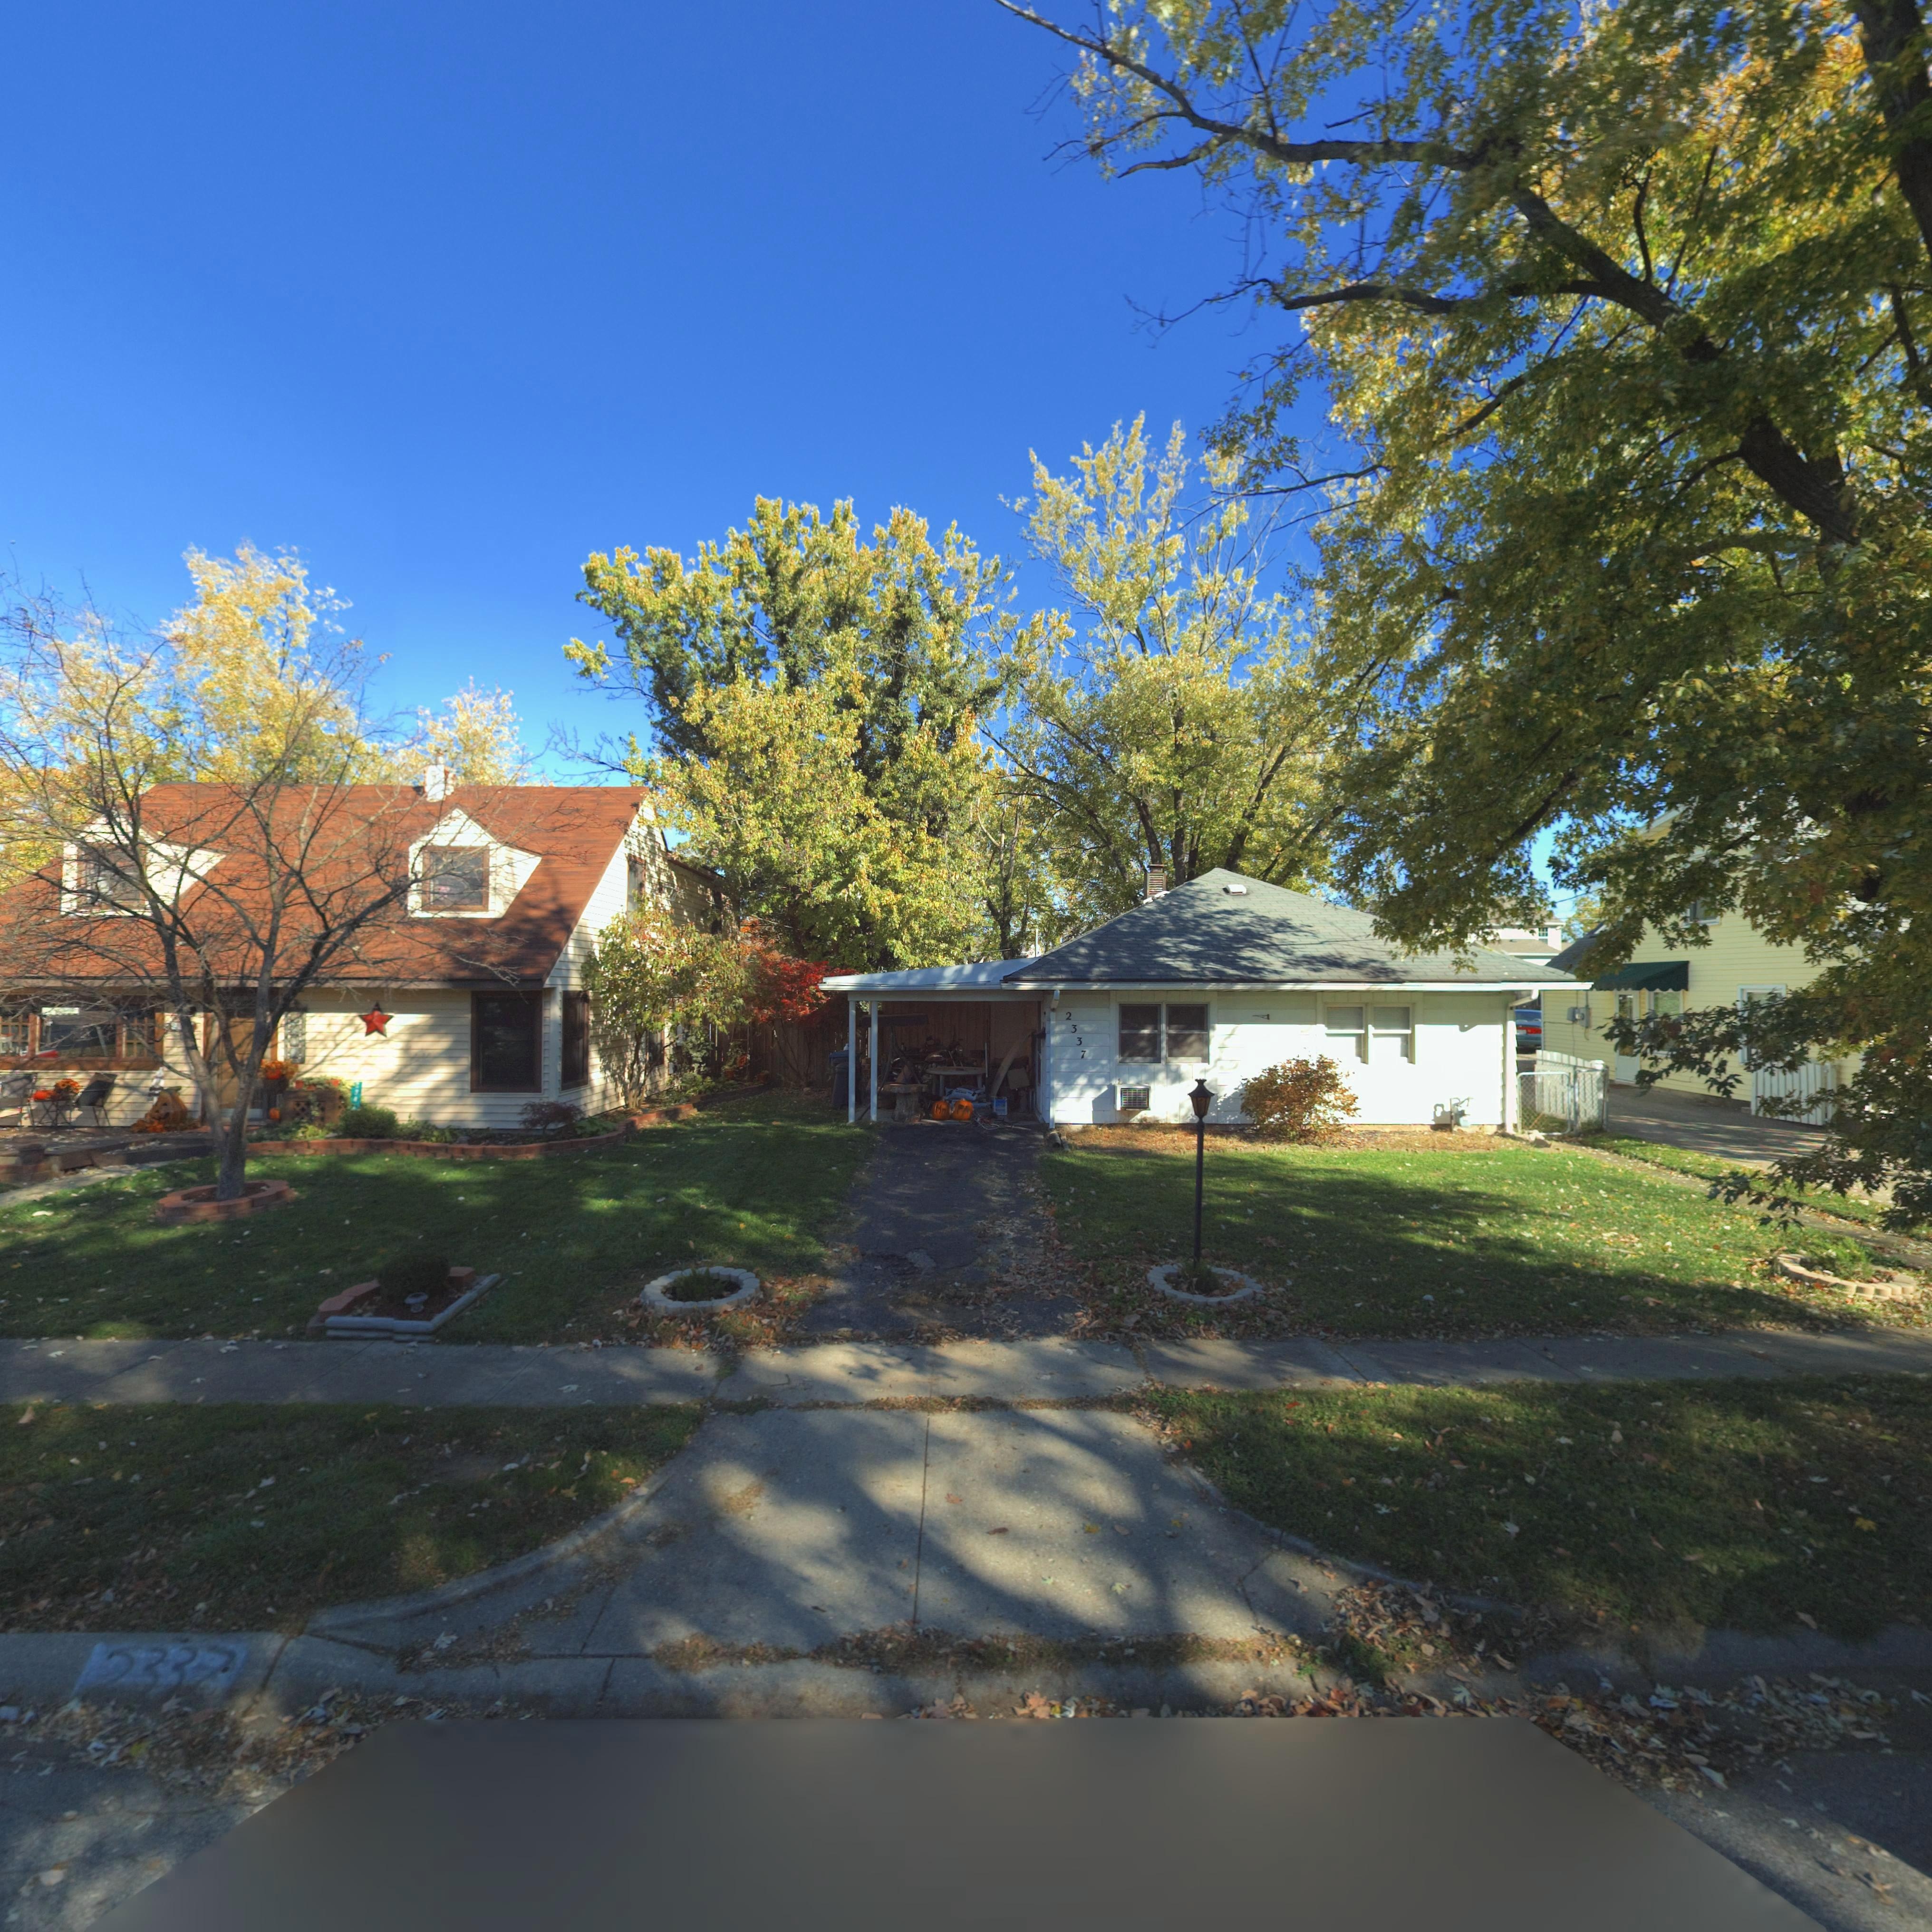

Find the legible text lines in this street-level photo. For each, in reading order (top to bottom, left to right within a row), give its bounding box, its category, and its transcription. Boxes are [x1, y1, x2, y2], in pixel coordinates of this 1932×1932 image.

[1064, 1011, 1087, 1061] StreetNumber: 2337
[92, 1642, 242, 1704] StreetNumber: *337